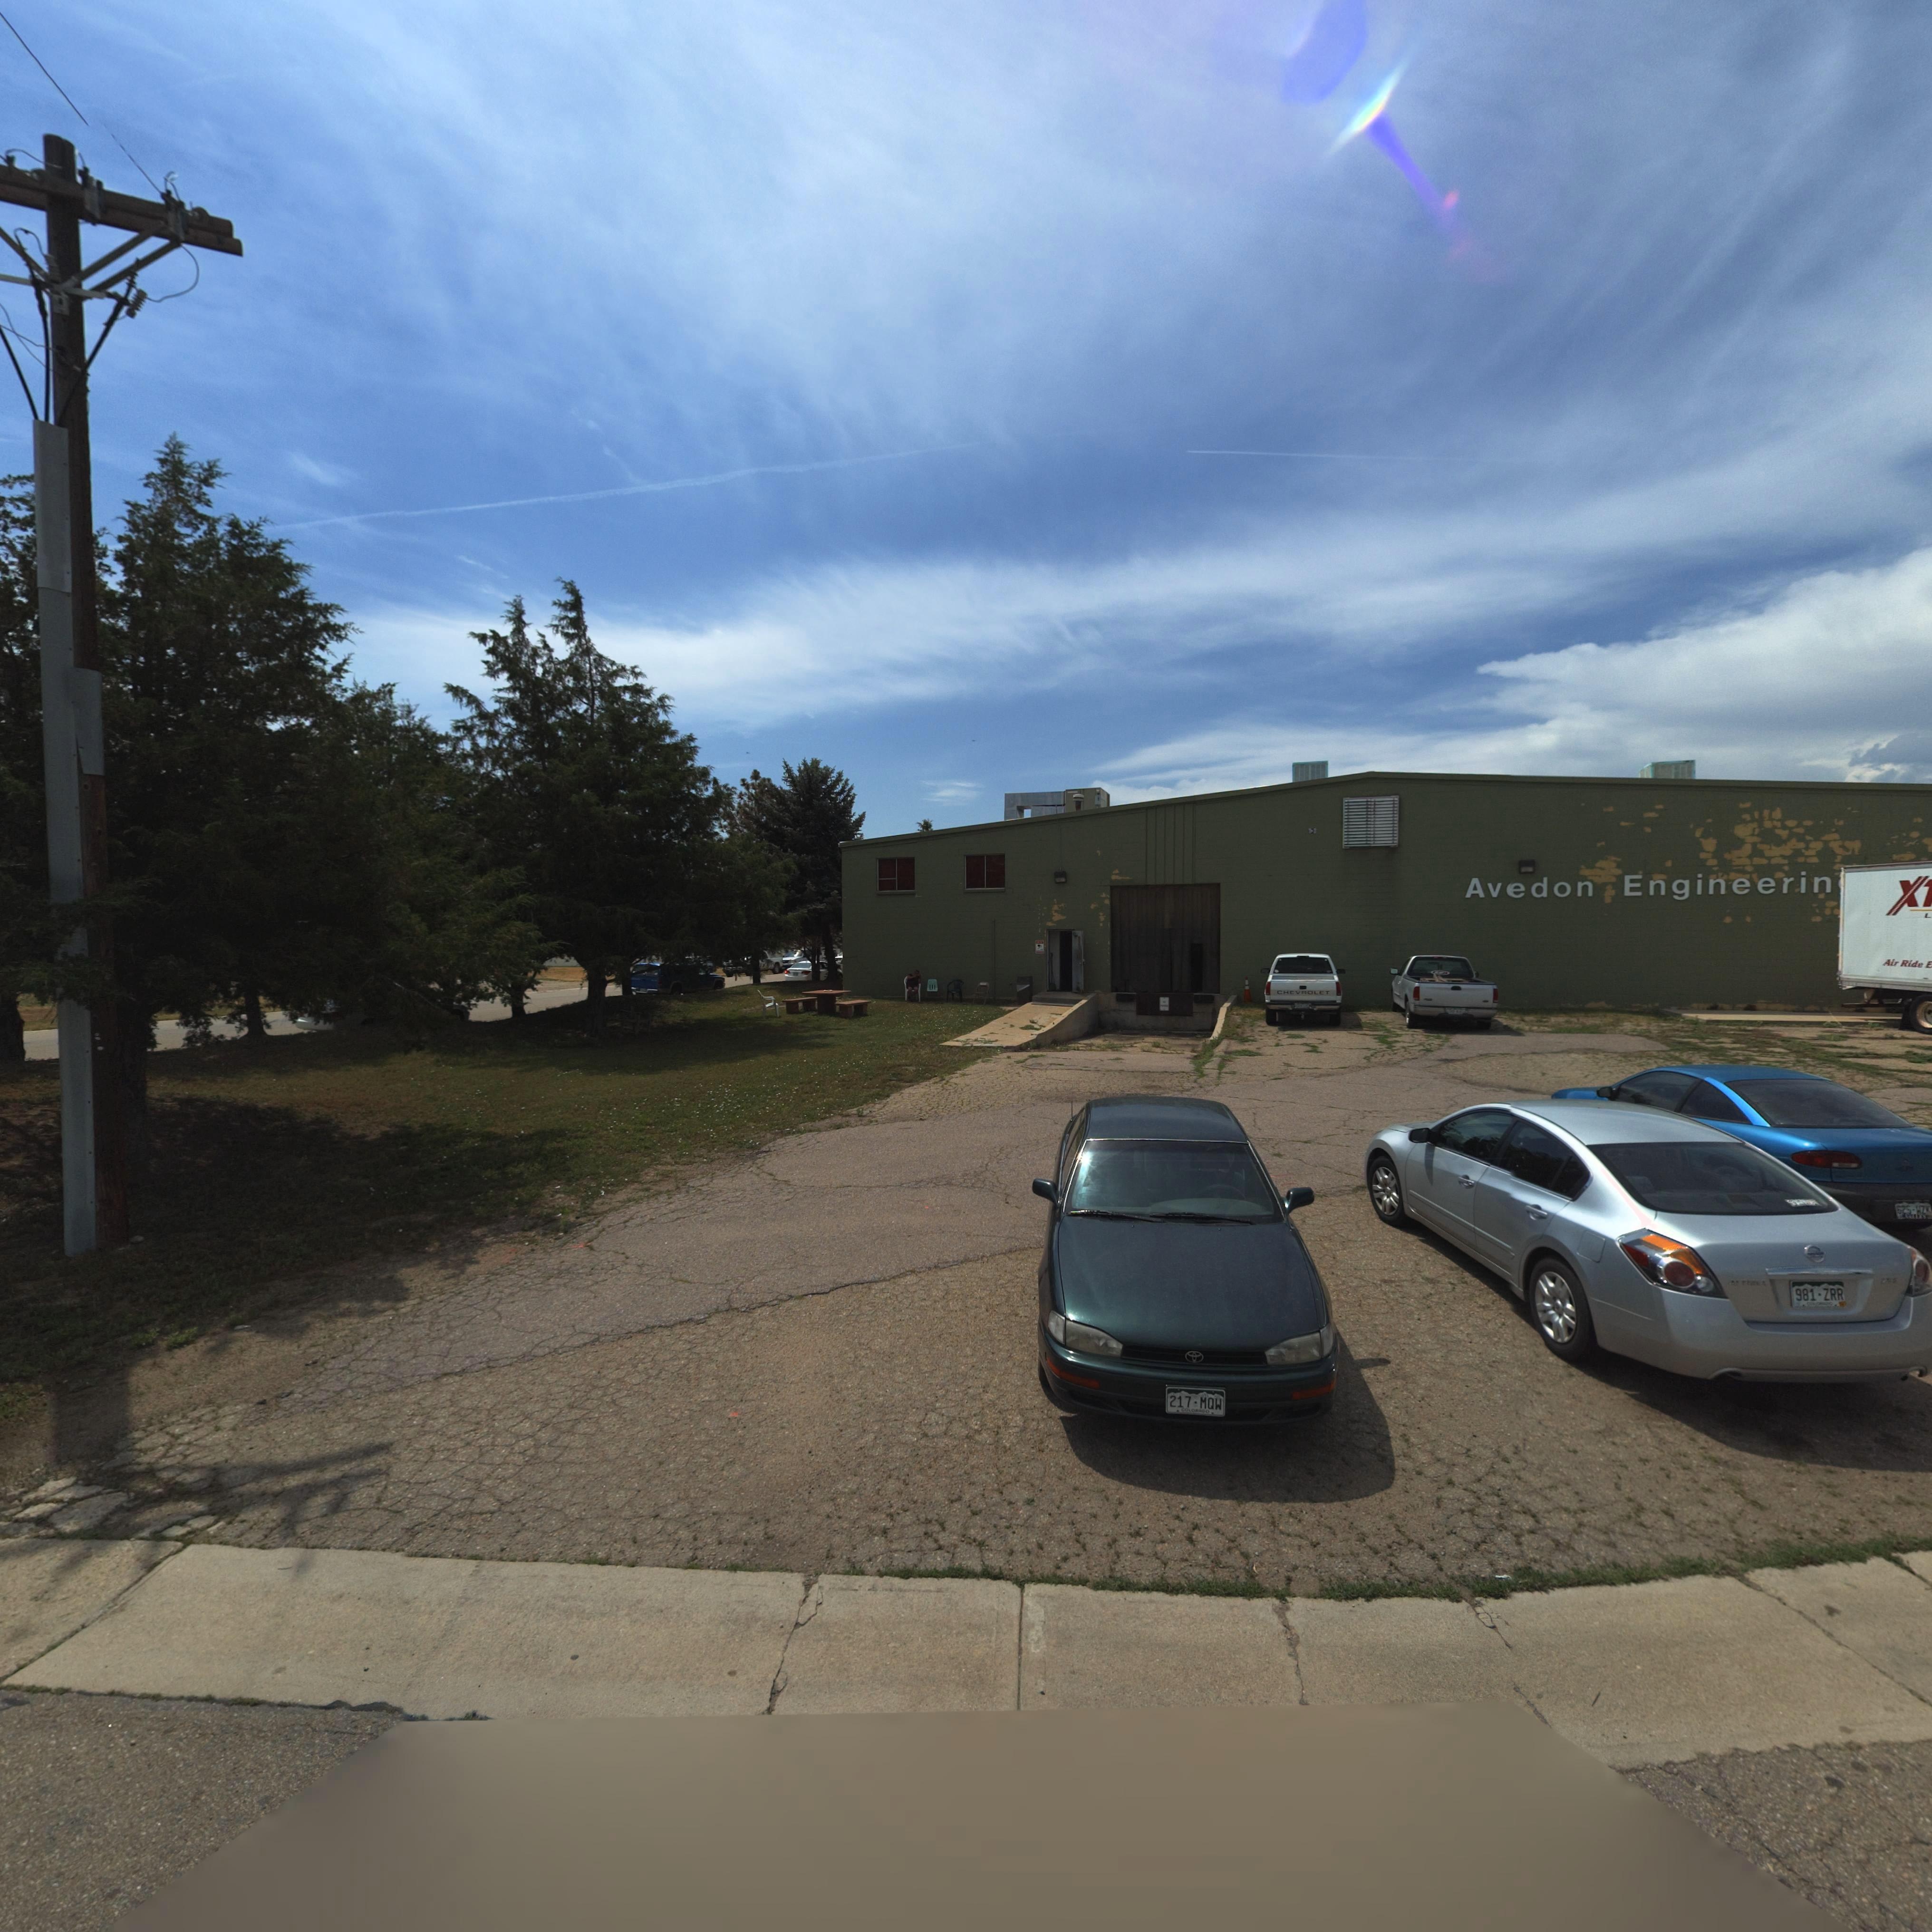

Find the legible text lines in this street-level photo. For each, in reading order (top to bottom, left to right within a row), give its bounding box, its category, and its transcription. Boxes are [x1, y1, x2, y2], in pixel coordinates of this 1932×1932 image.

[1463, 870, 1832, 903] StreetName: Avenon Engineerin